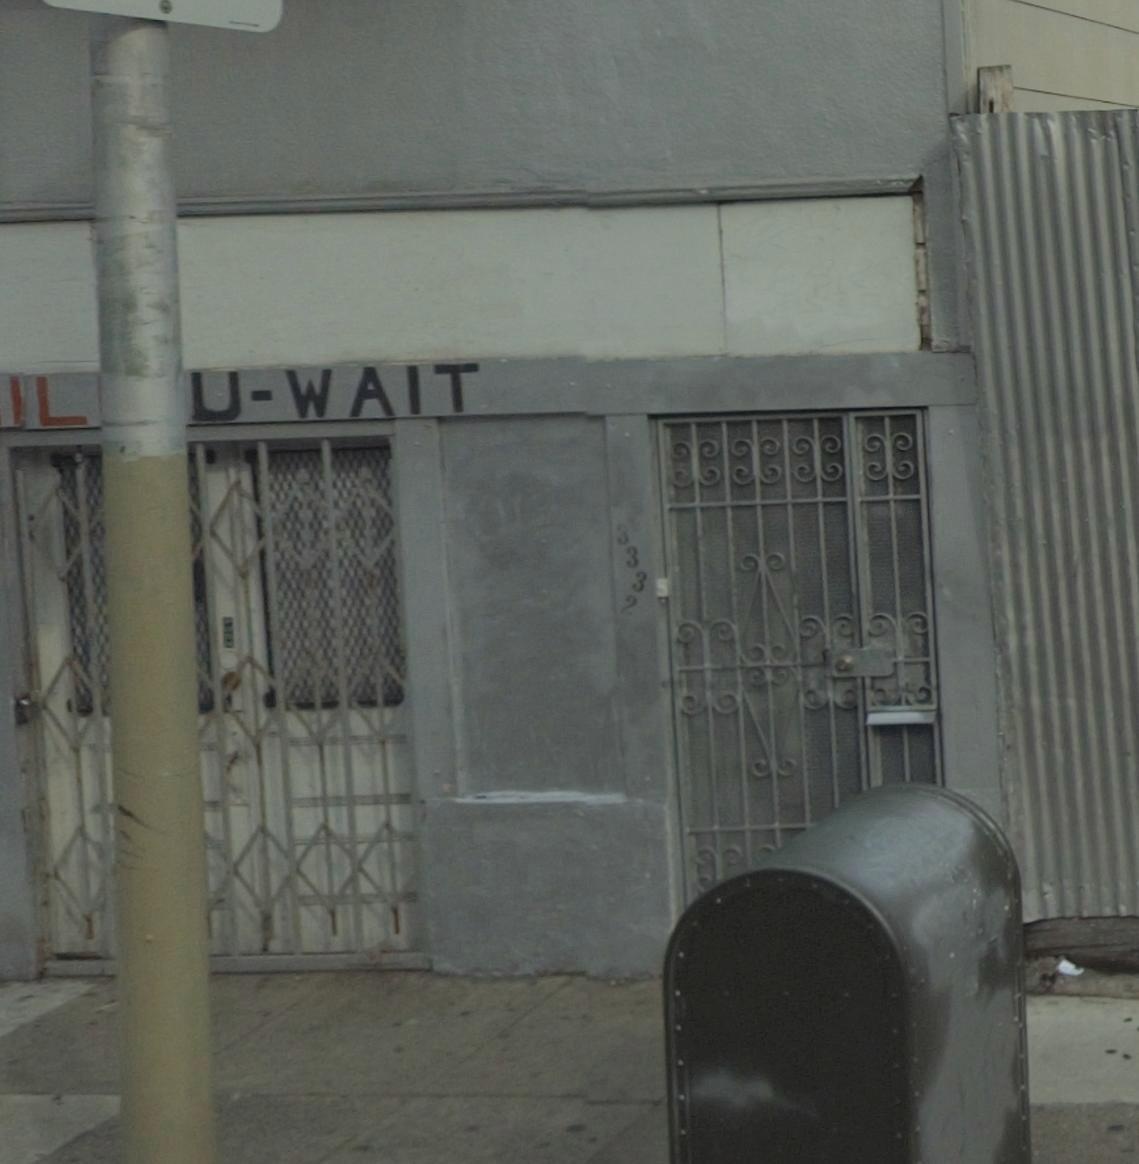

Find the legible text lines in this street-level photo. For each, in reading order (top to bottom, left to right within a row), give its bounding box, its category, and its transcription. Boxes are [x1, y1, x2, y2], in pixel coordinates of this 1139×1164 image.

[30, 372, 94, 431] None: L
[185, 358, 490, 427] None: U-WAIT
[615, 521, 649, 620] StreetNumber: 3332